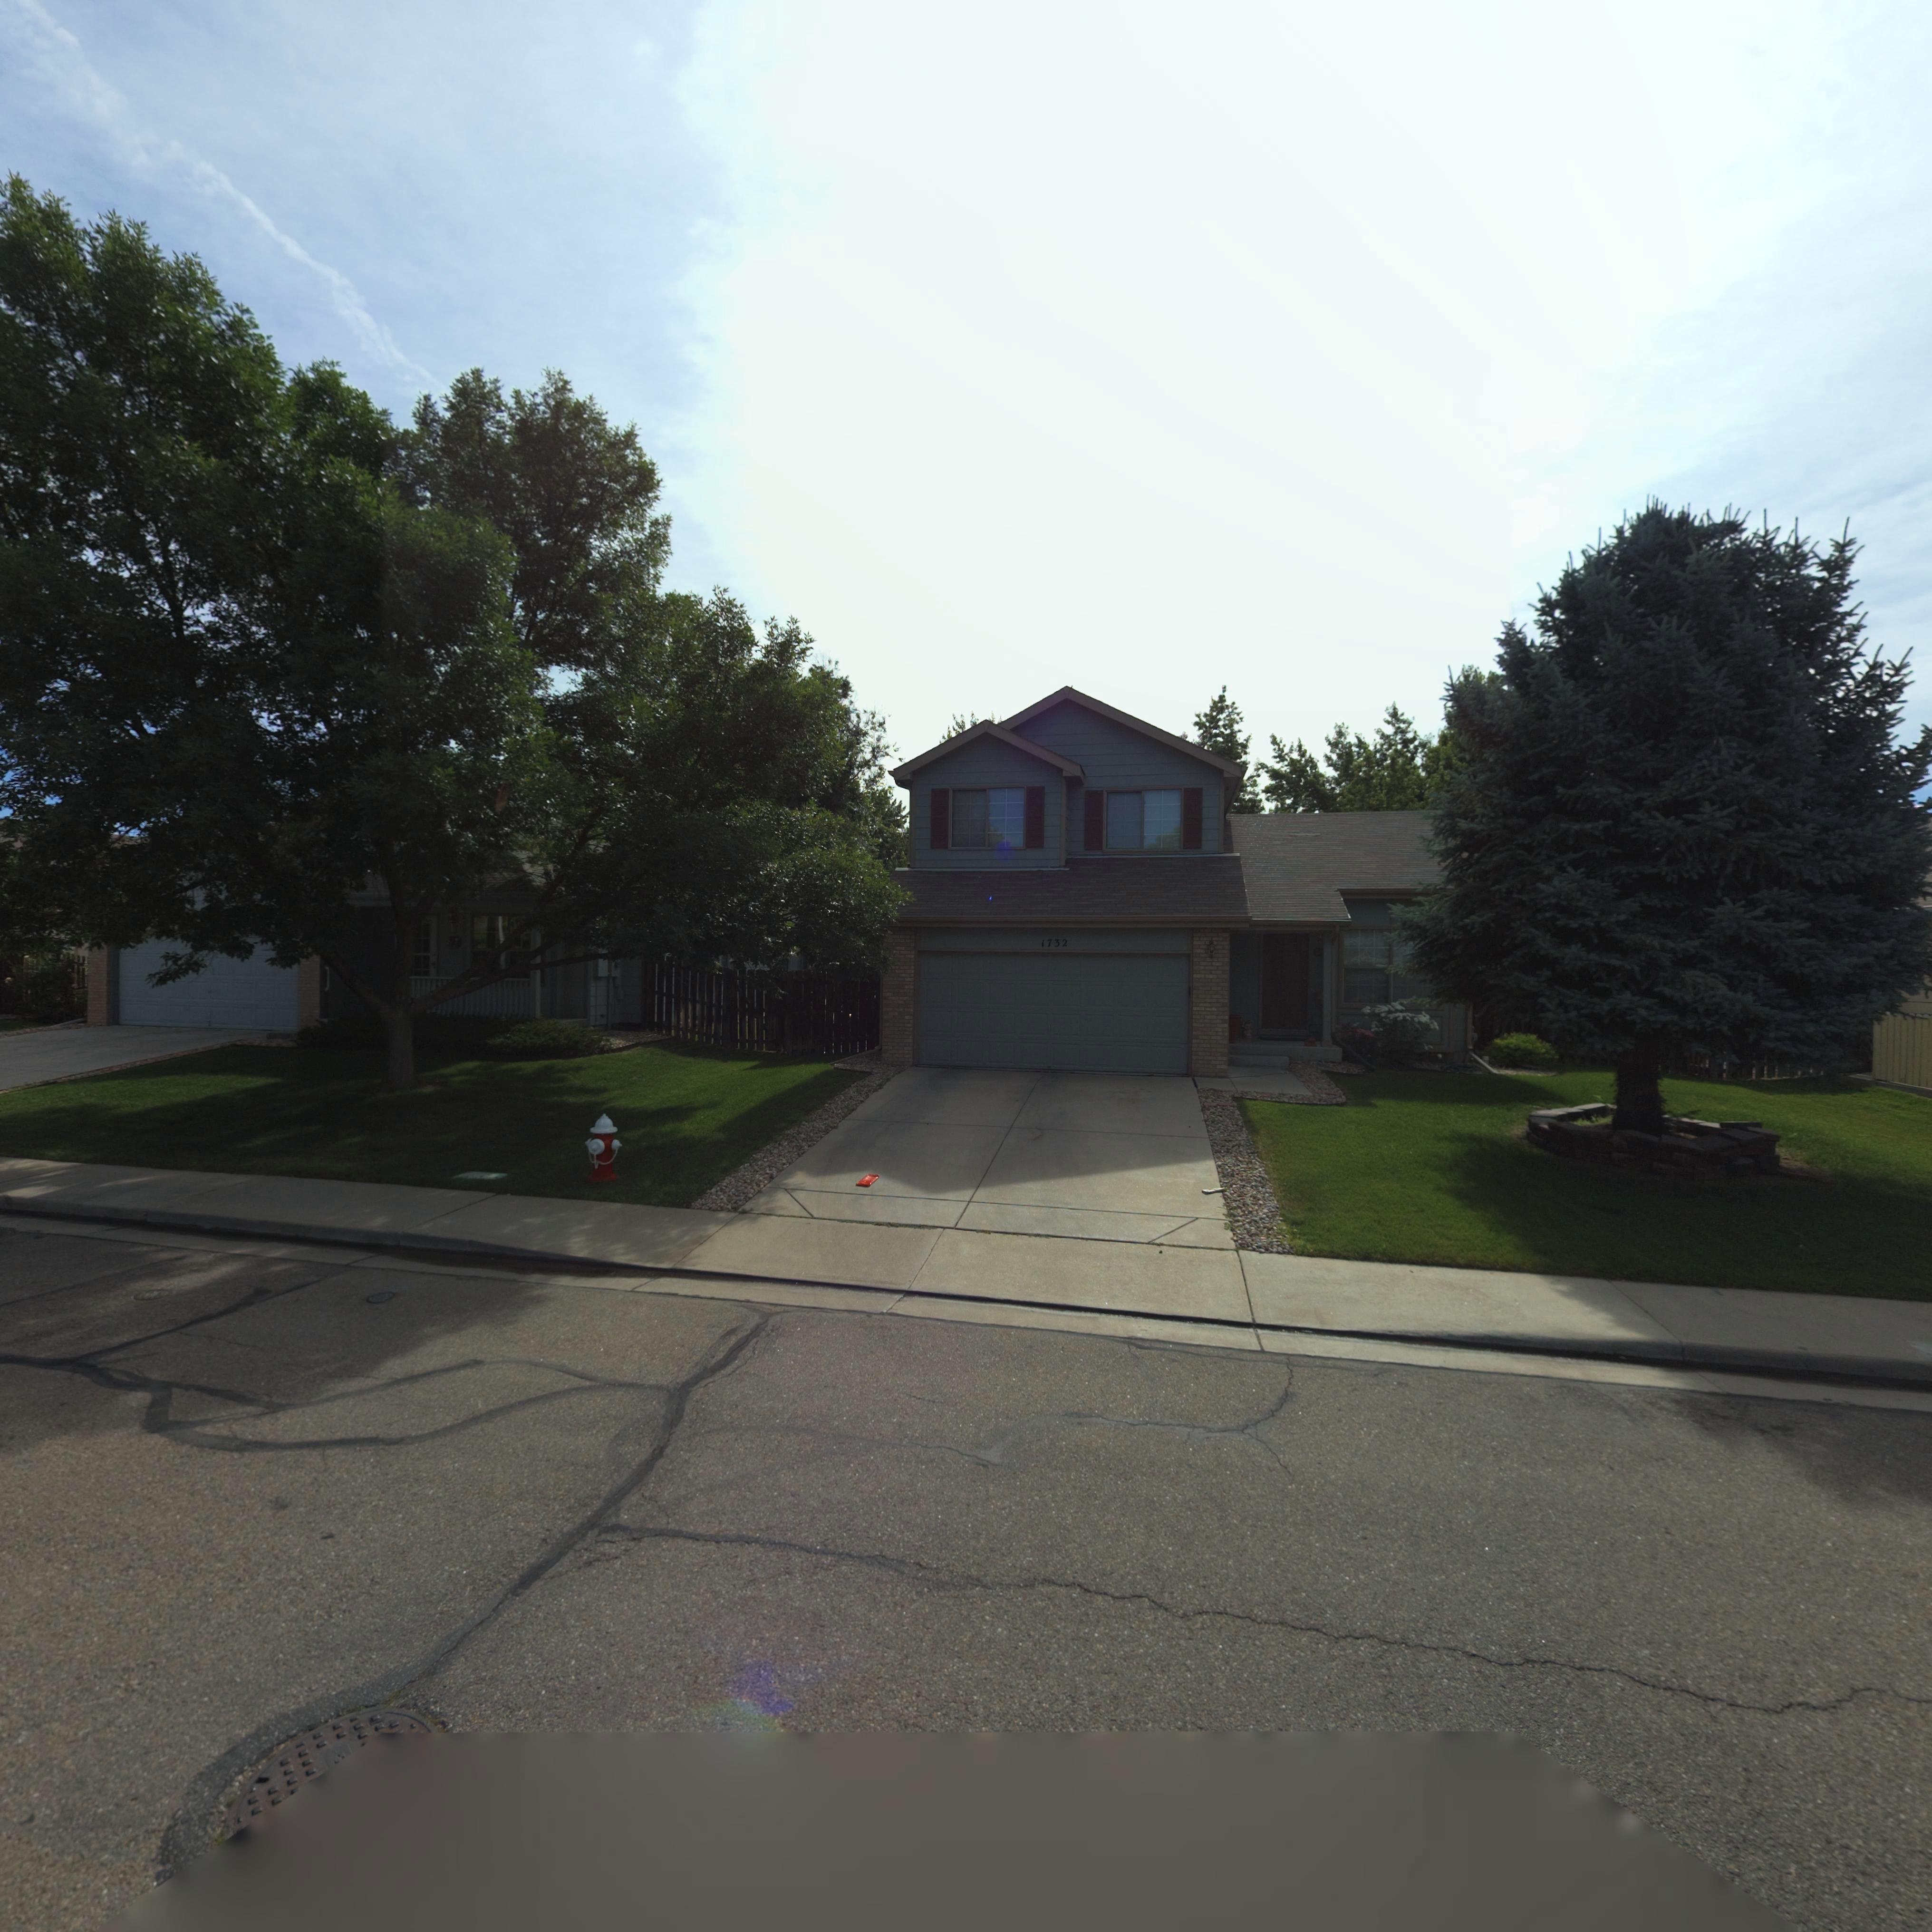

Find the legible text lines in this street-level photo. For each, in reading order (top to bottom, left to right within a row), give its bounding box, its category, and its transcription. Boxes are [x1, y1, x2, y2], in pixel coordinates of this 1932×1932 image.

[1041, 938, 1068, 947] StreetNumber: 1732